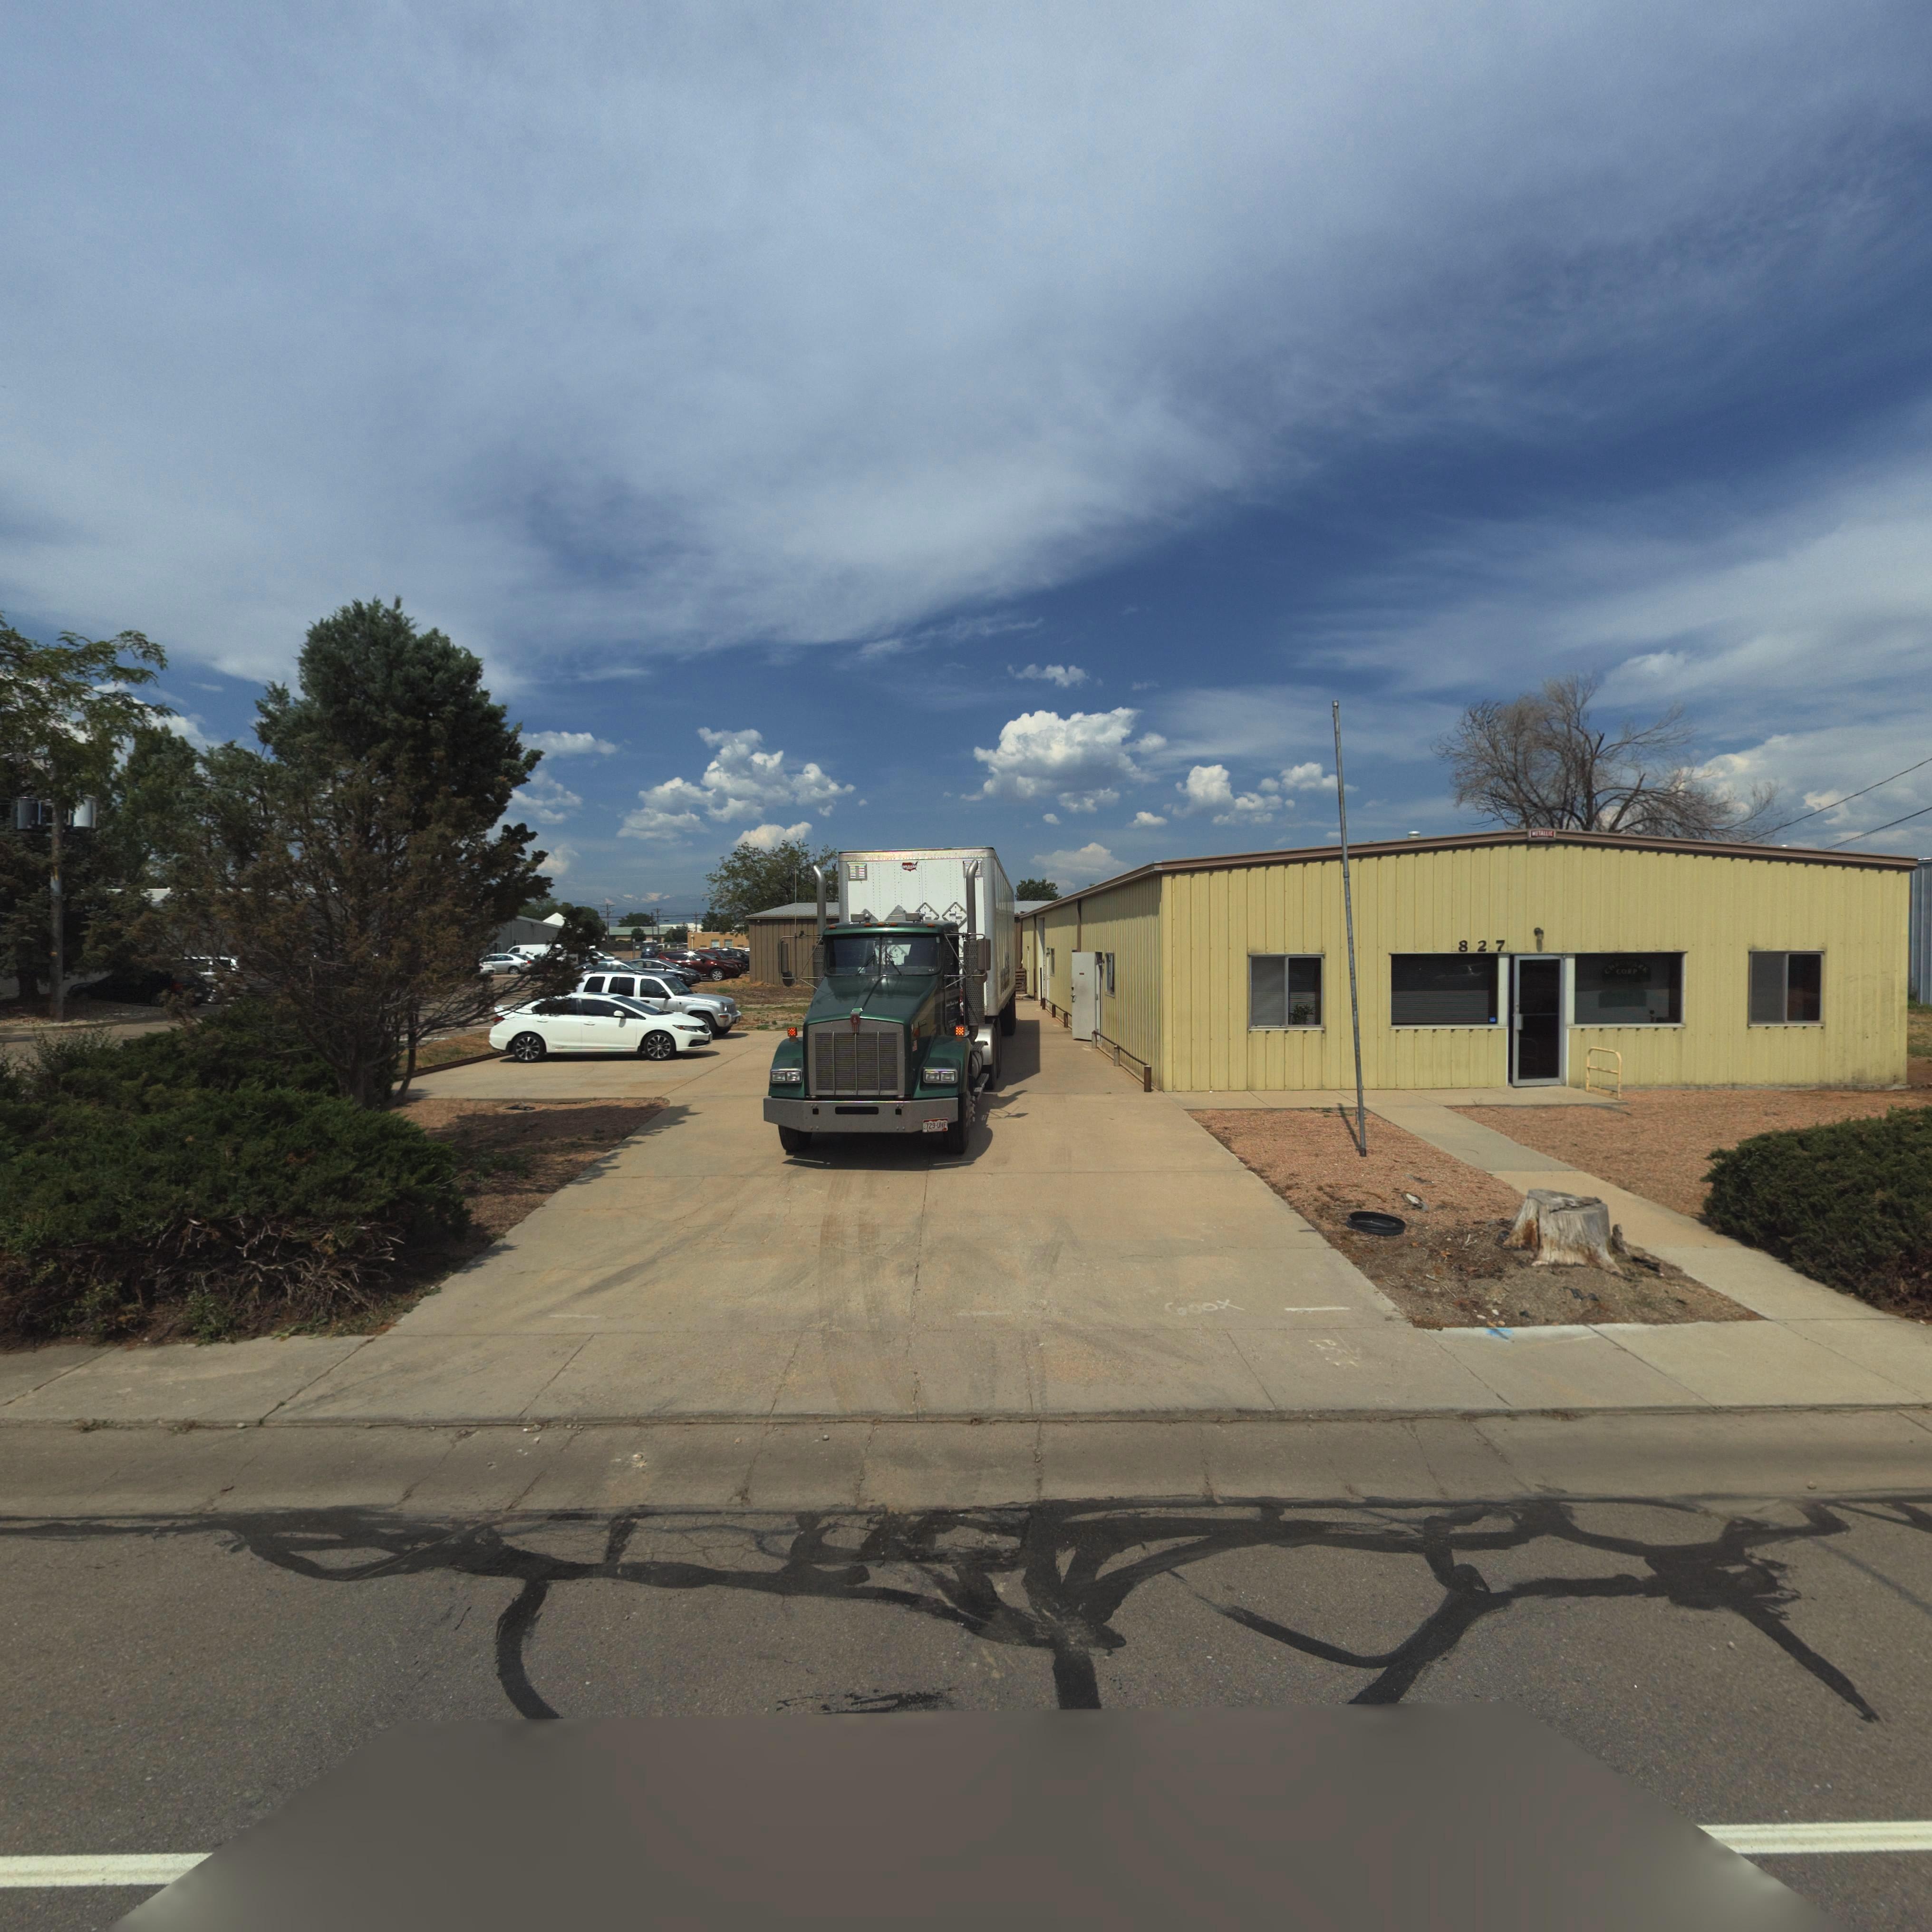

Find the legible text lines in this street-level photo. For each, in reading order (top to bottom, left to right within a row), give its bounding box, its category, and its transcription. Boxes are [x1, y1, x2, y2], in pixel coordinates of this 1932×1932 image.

[1457, 939, 1505, 952] StreetNumber: 827
[1604, 959, 1650, 975] None: CH*O**RK
[1615, 968, 1638, 975] BusinessName: CORP